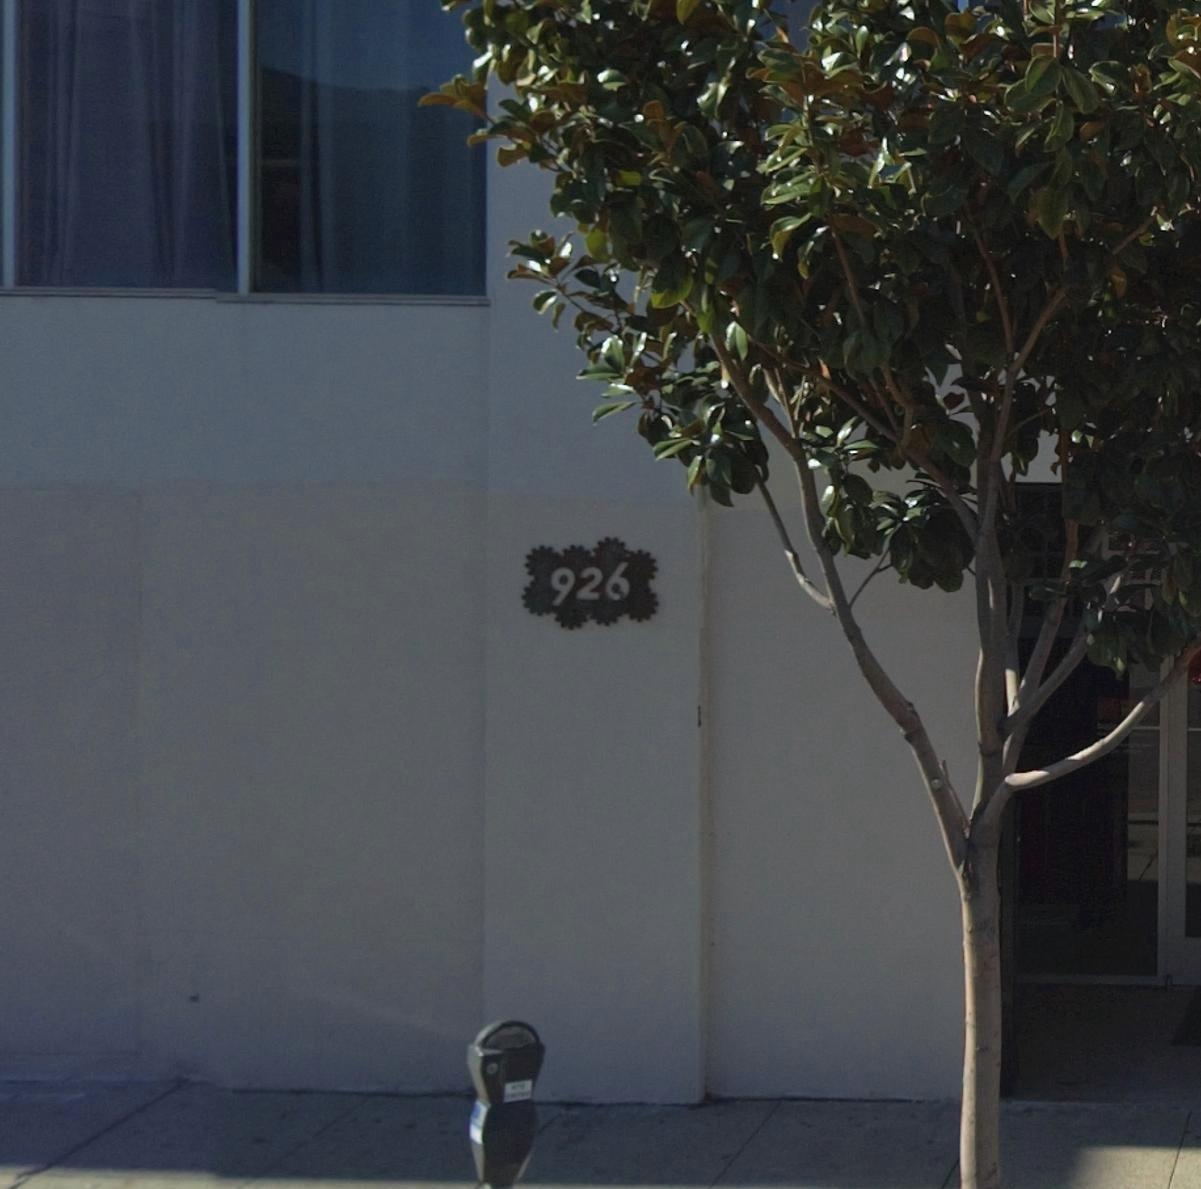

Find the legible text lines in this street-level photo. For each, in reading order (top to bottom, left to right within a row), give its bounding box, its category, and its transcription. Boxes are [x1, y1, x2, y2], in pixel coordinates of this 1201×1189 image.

[548, 559, 632, 609] StreetNumber: 926